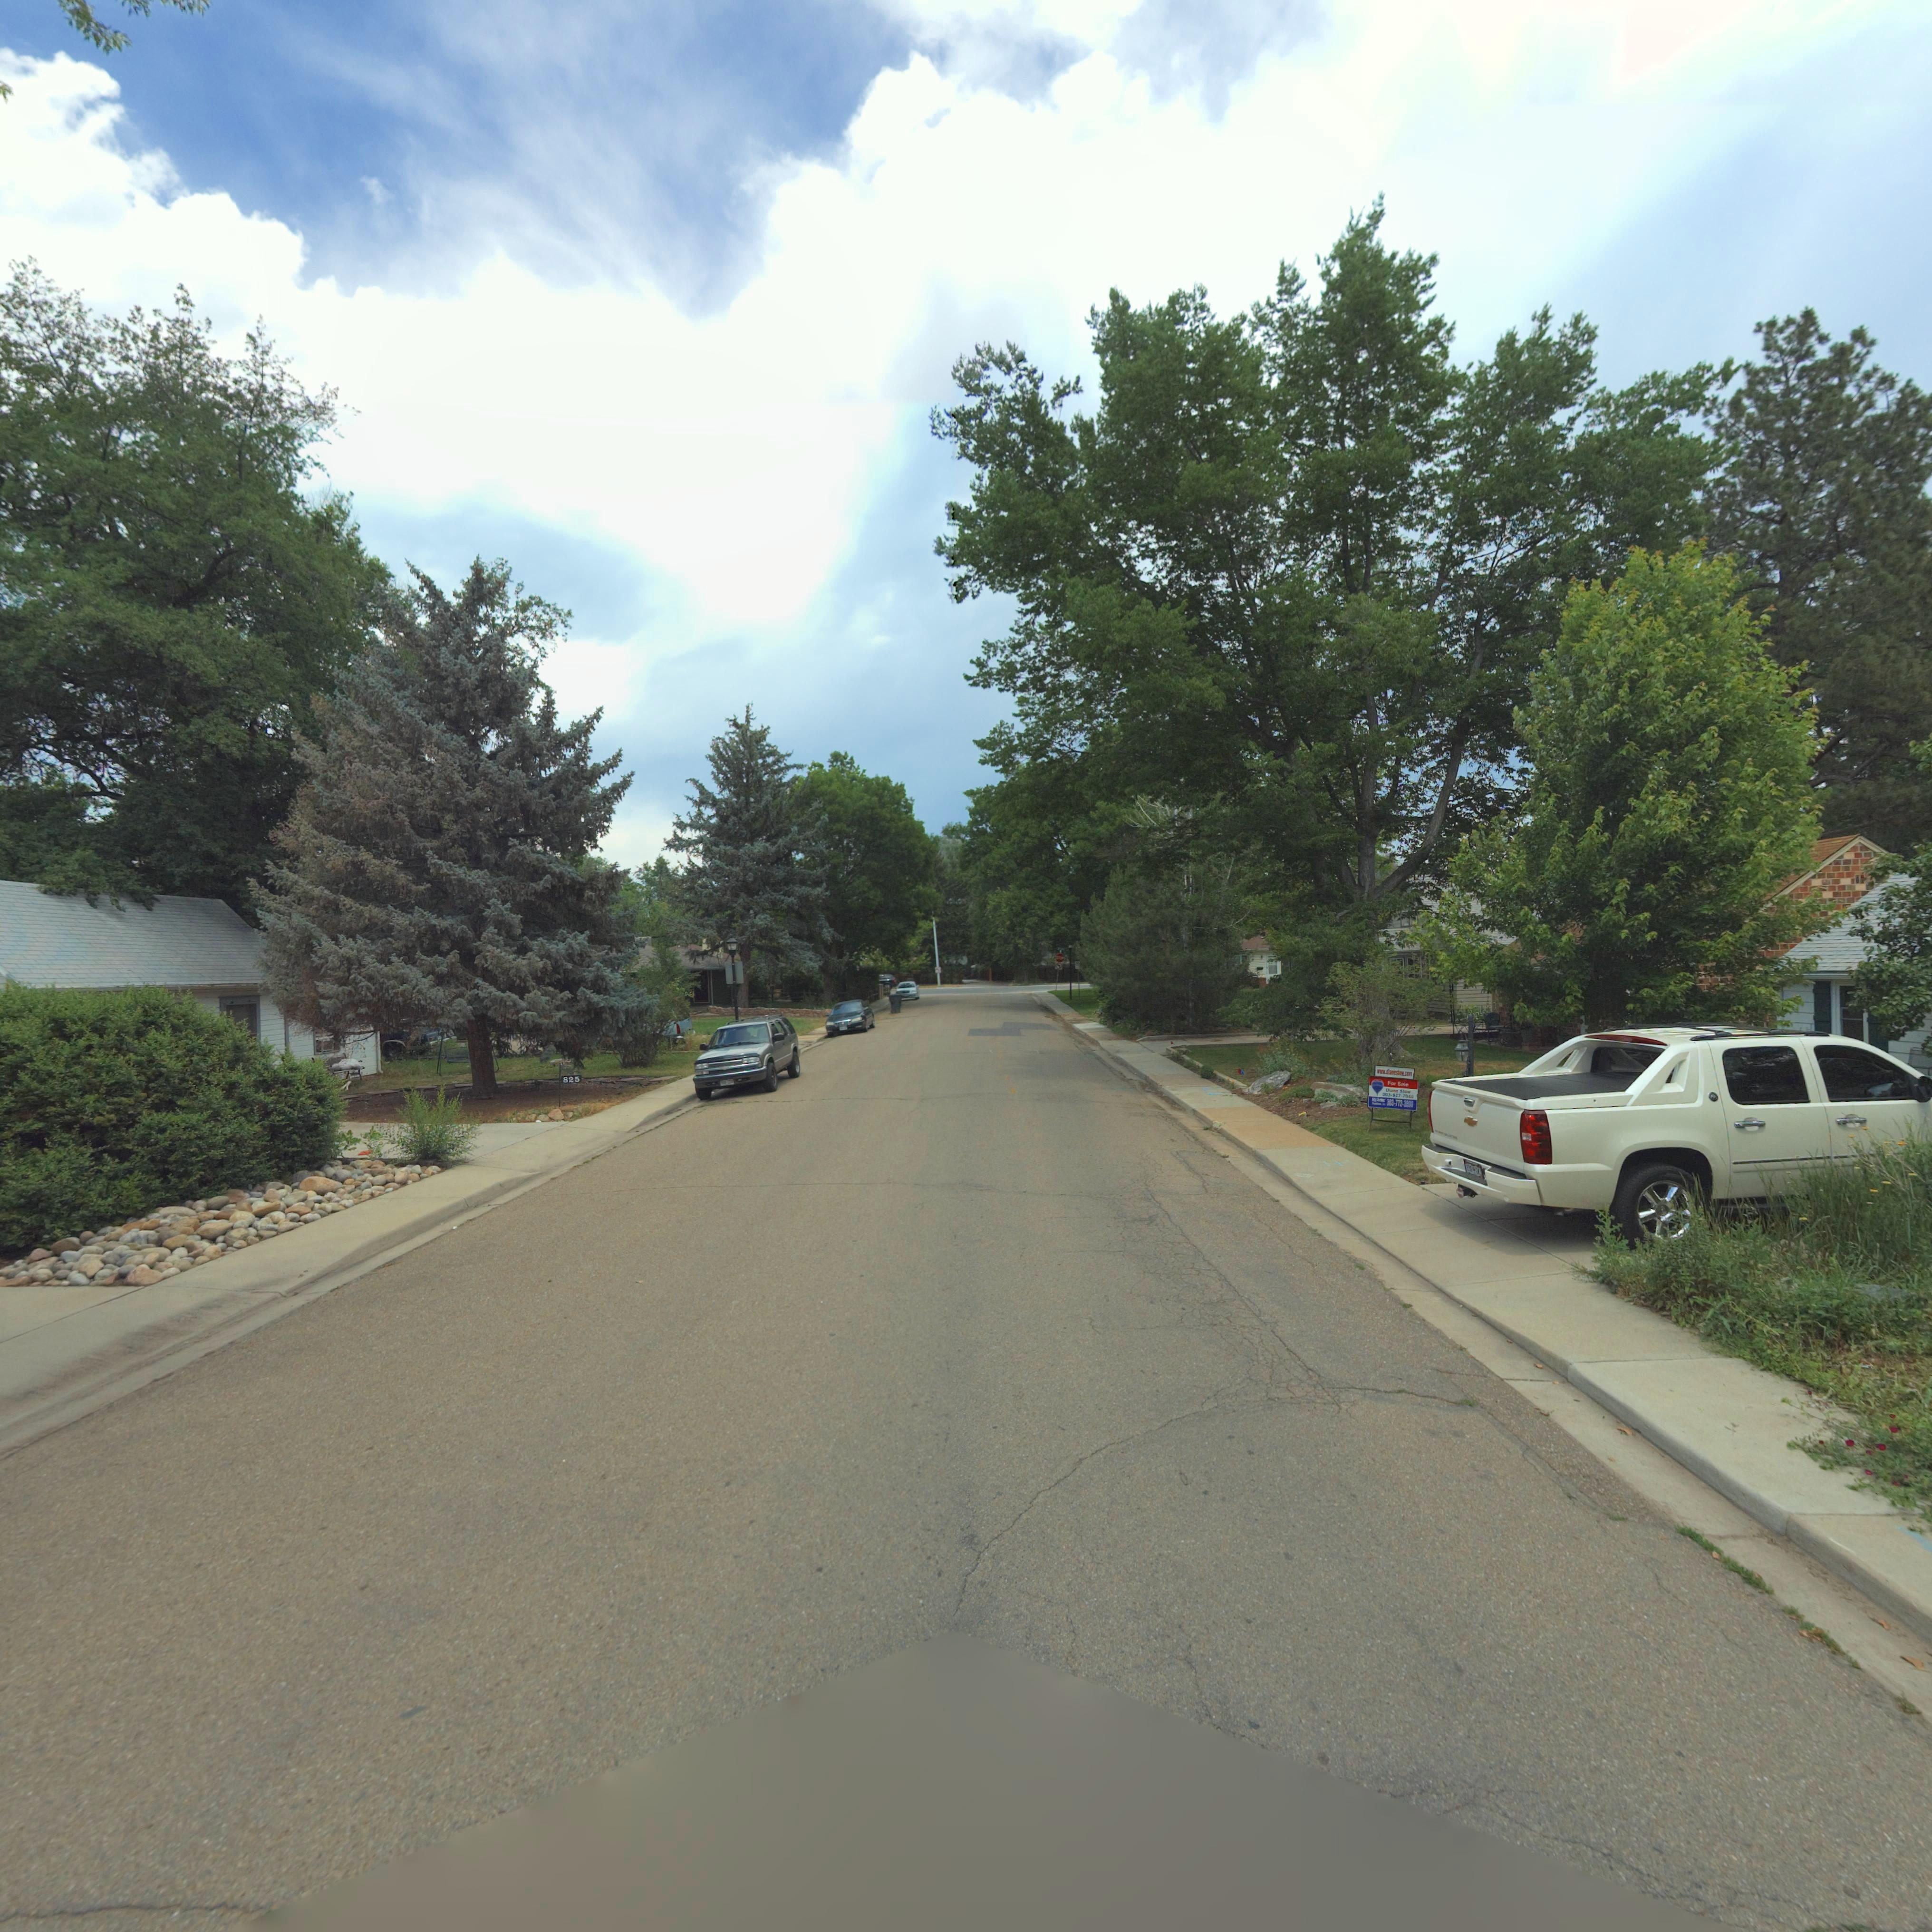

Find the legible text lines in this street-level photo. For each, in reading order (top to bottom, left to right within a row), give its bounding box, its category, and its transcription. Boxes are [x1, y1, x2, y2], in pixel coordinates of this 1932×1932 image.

[562, 1075, 580, 1083] StreetNumber: 825